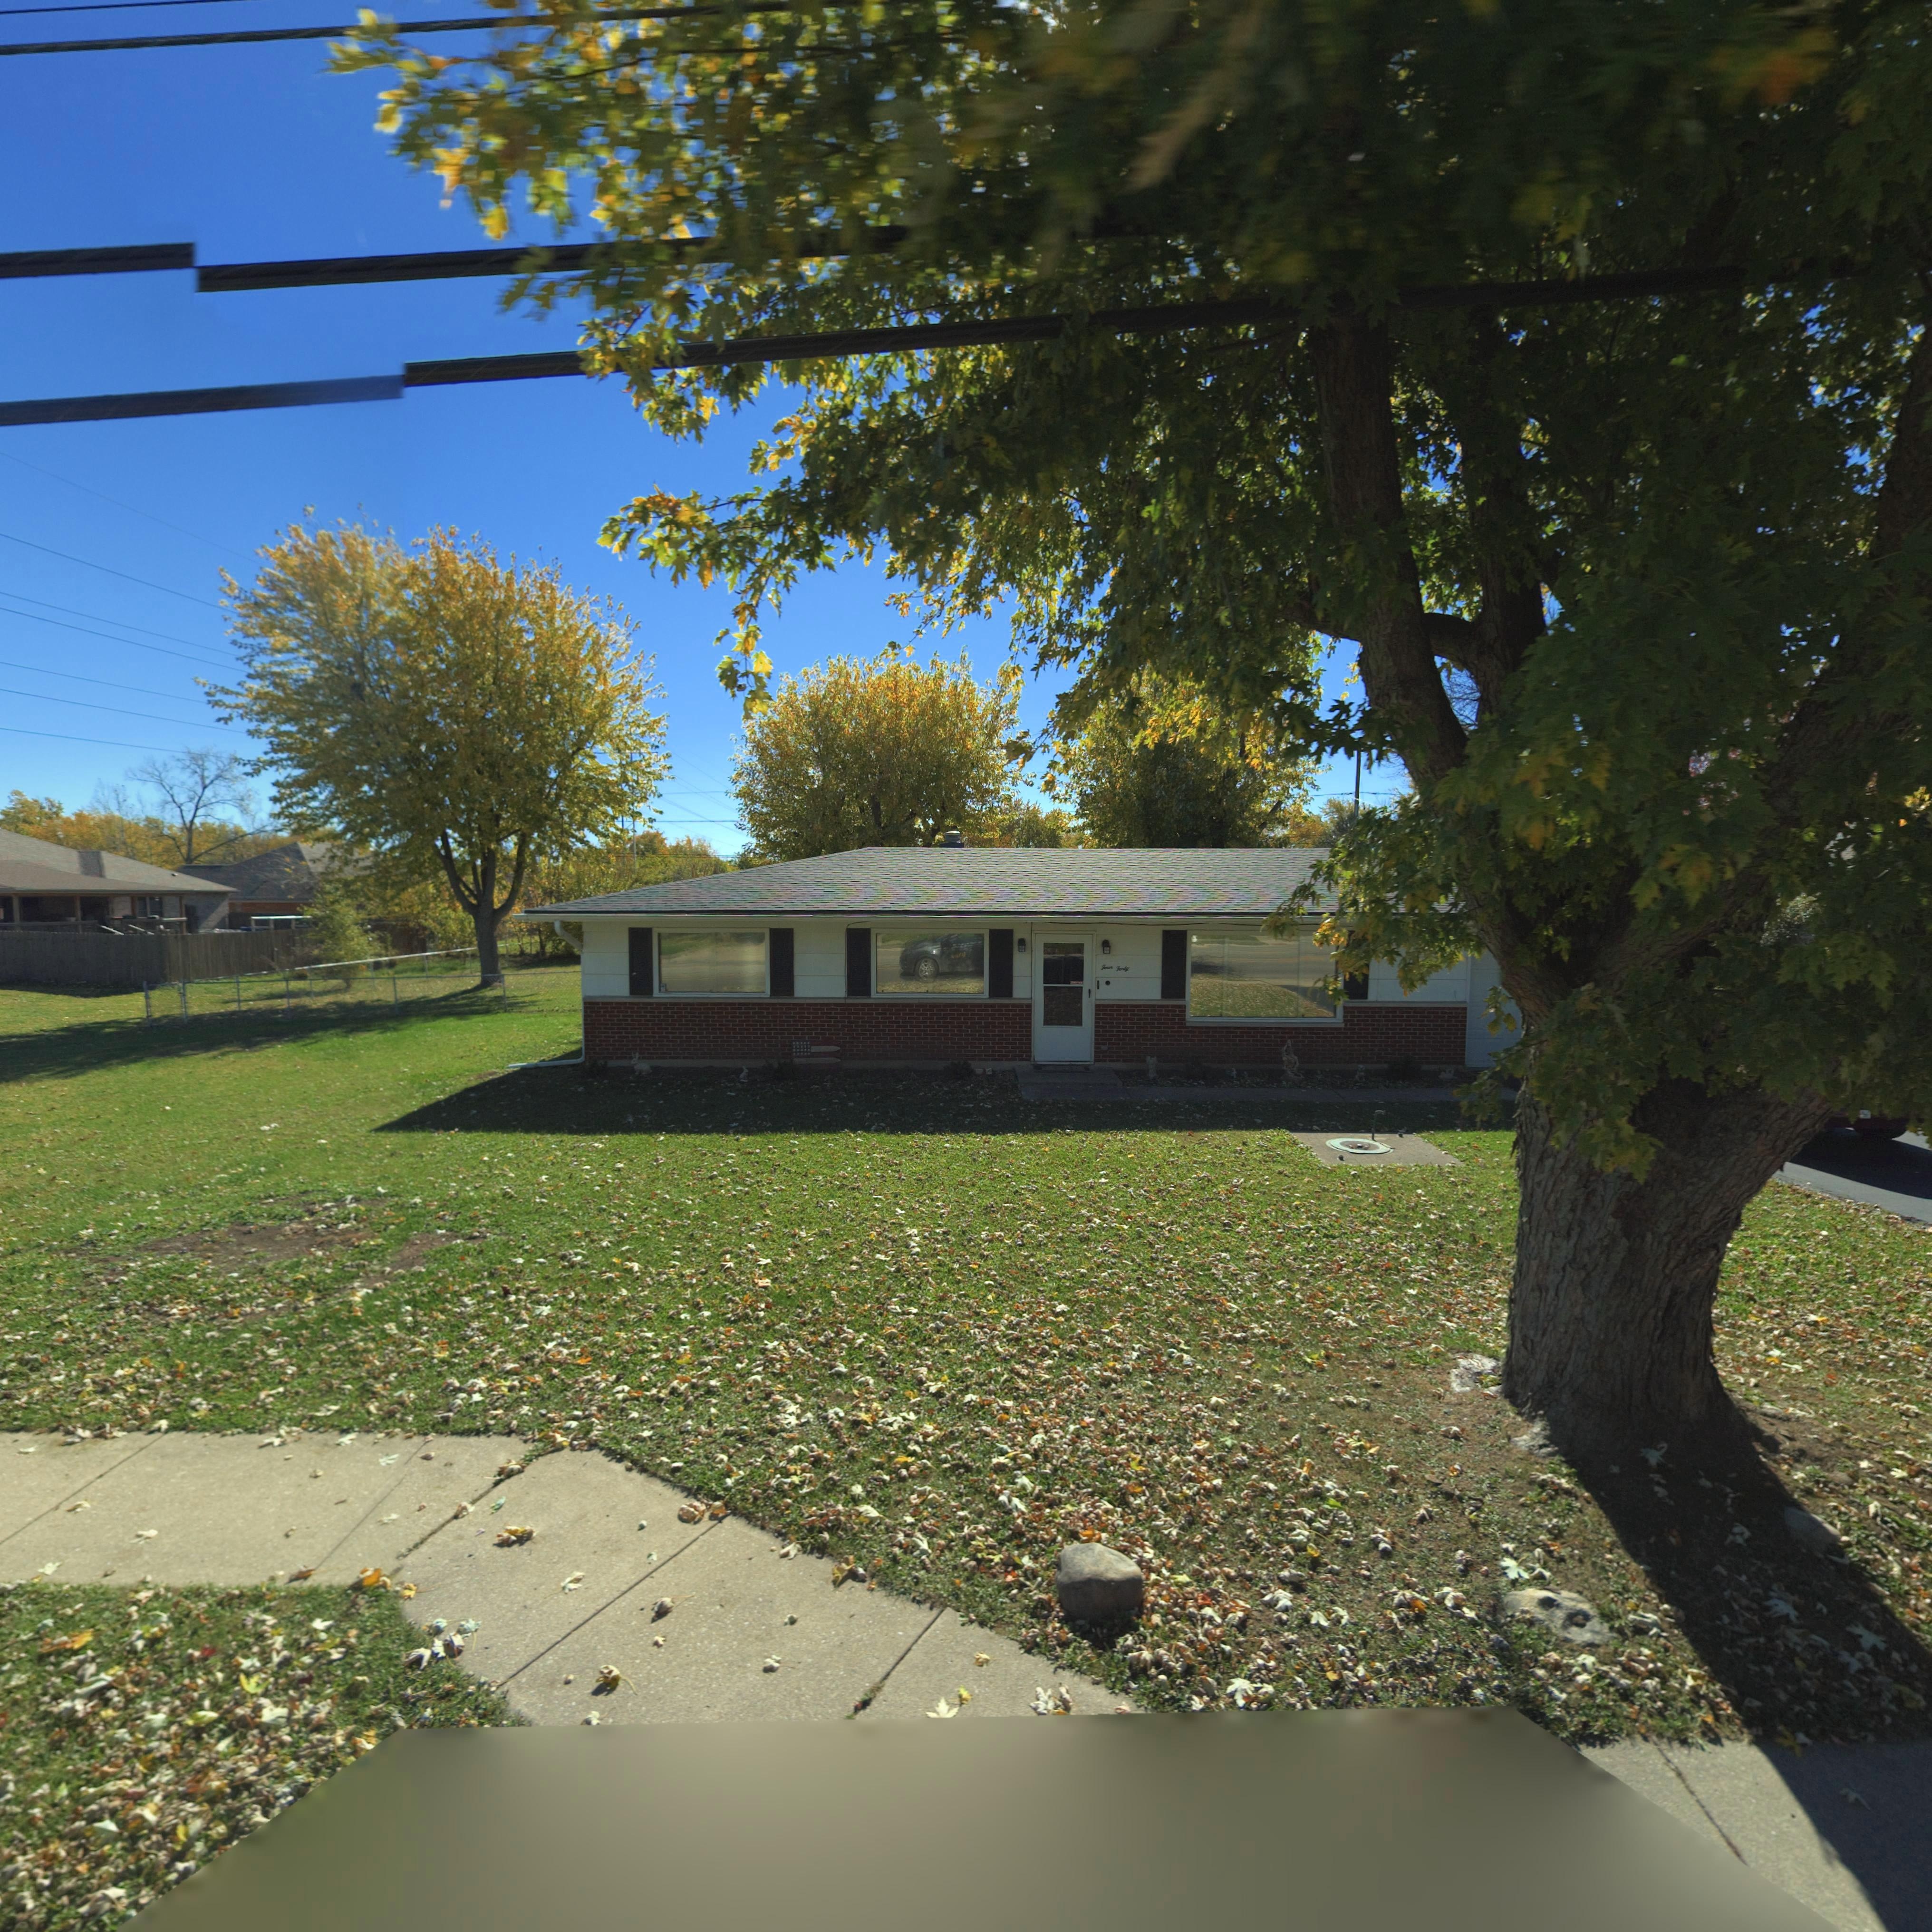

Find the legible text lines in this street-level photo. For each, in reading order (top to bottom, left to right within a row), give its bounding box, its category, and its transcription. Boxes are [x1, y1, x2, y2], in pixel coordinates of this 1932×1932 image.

[1115, 965, 1130, 973] StreetNumber: *o*dy